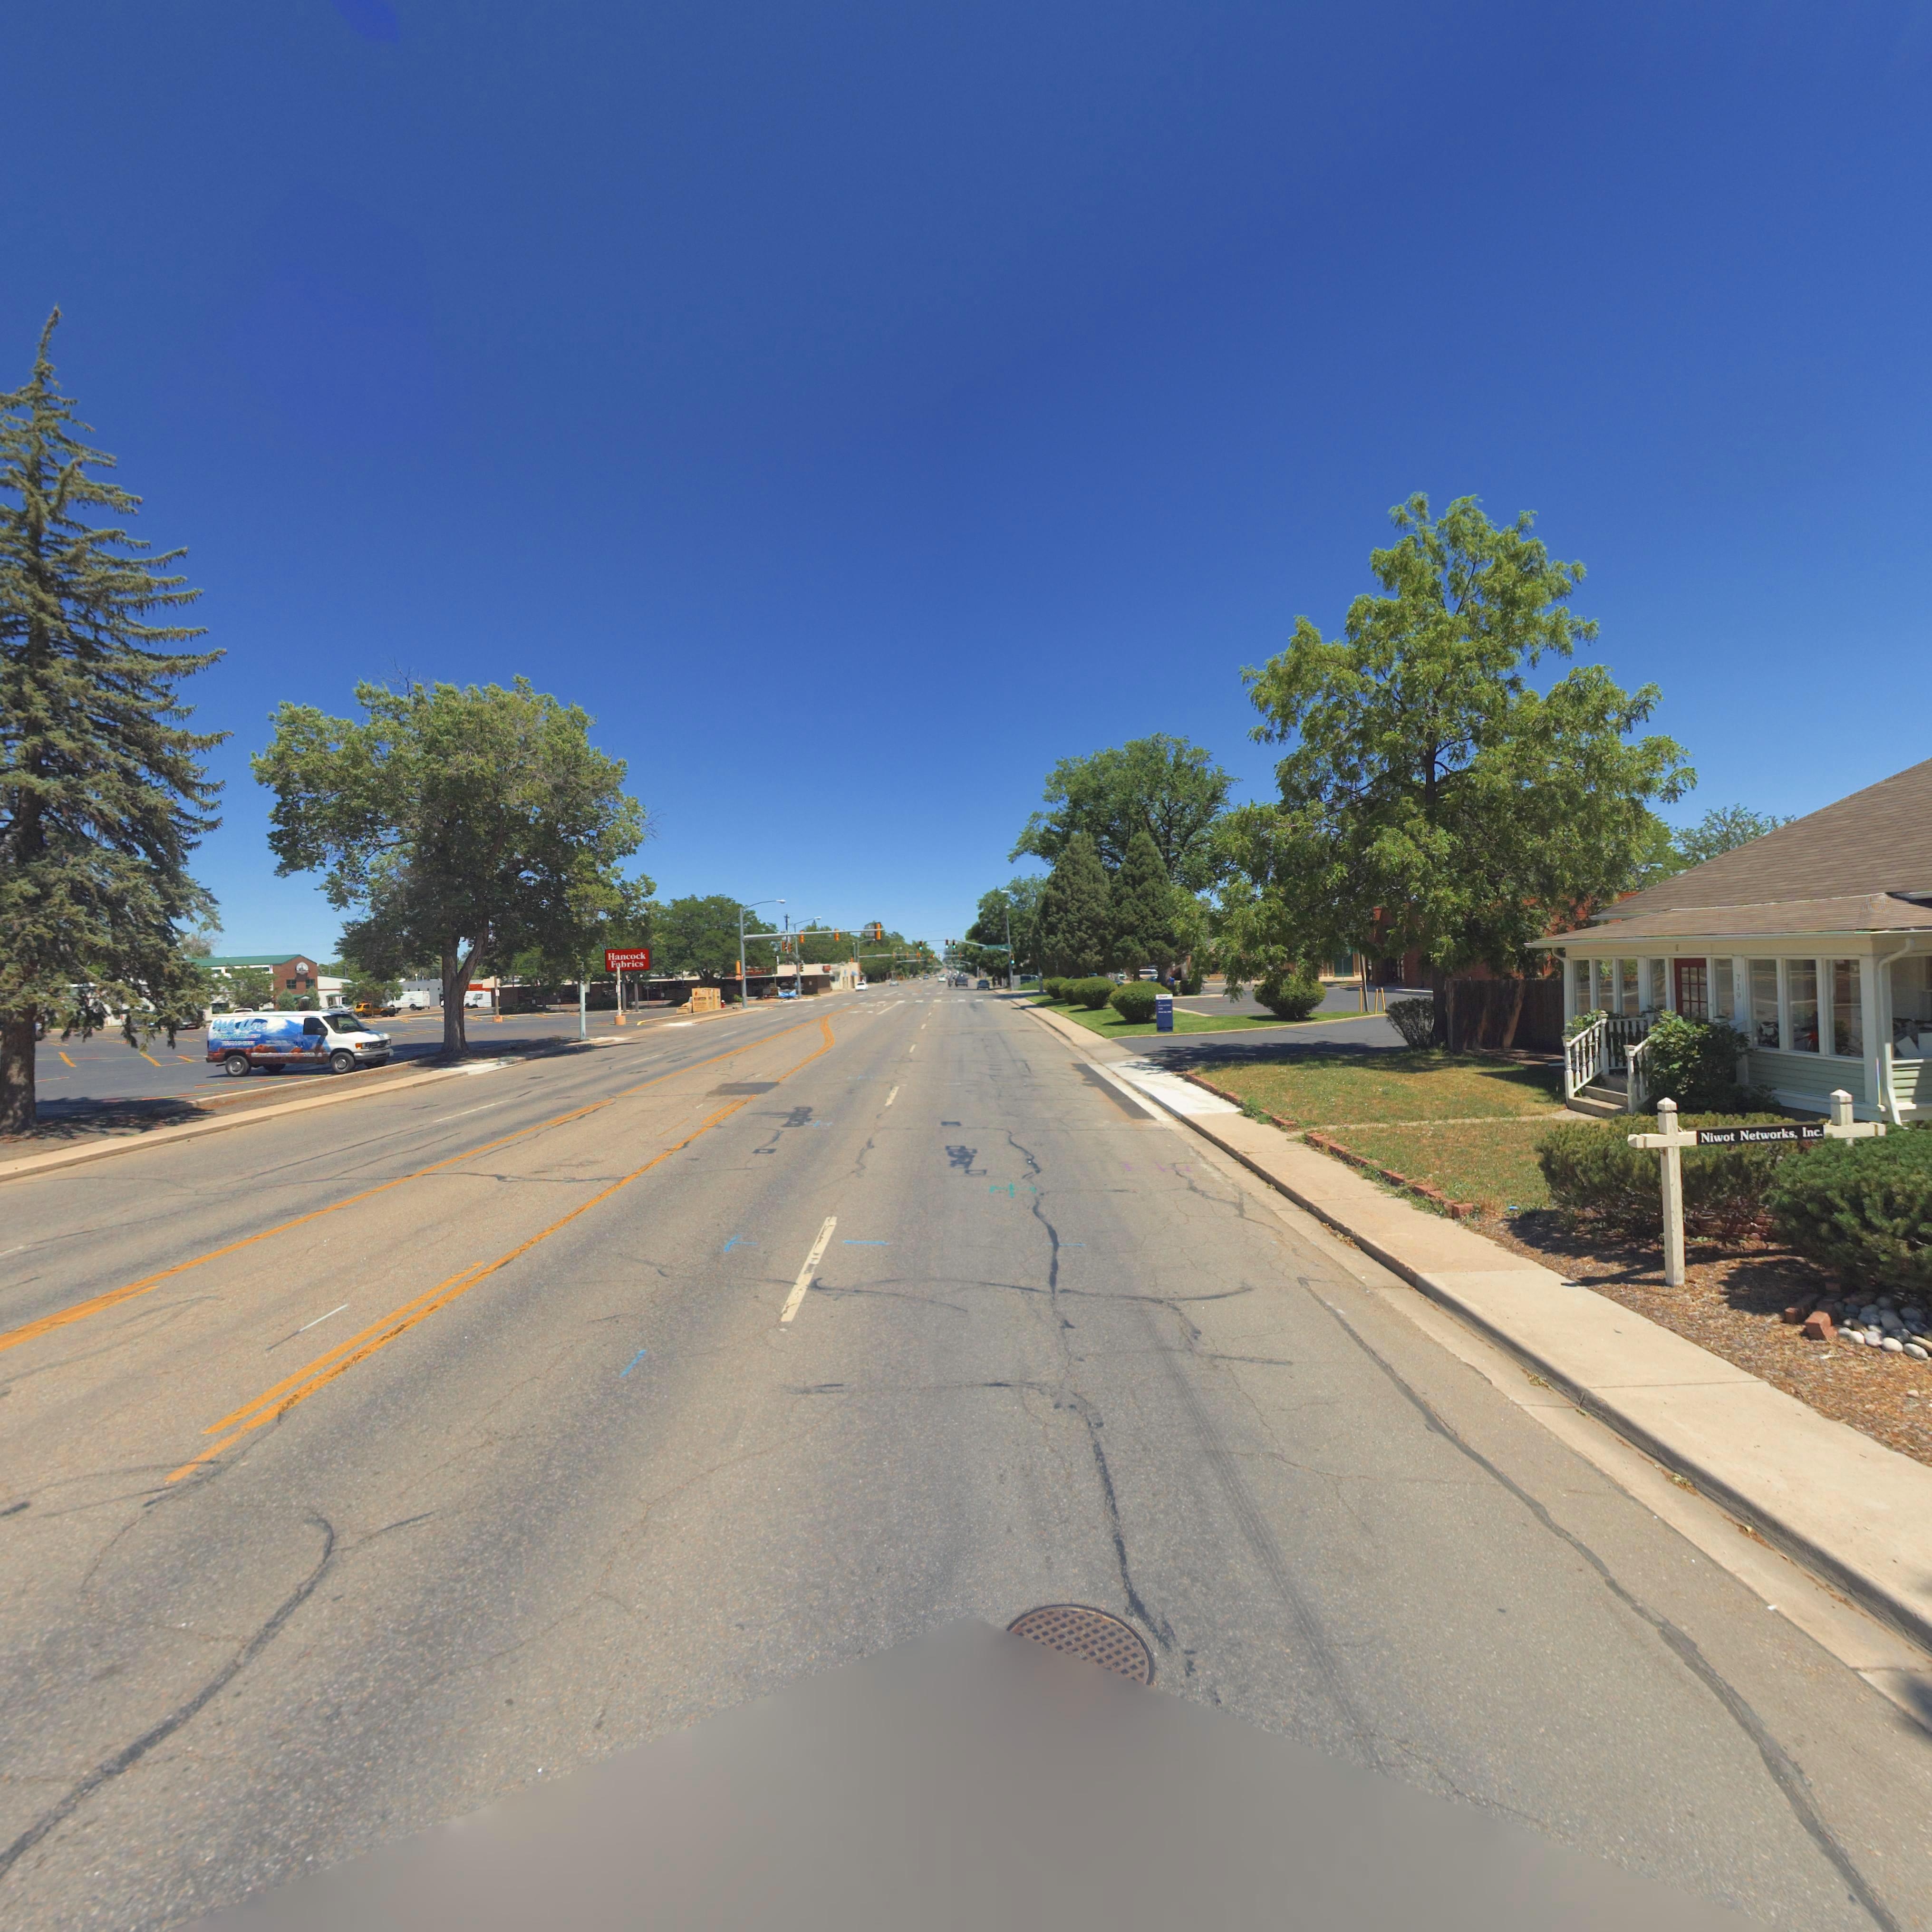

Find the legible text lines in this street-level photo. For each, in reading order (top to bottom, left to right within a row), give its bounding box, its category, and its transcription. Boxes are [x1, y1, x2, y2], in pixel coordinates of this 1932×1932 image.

[988, 945, 1006, 949] StreetName: C****** **
[608, 951, 646, 960] BusinessName: Hanock
[610, 960, 644, 968] BusinessName: F*brics
[1736, 974, 1741, 999] StreetNumber: 719
[1700, 1126, 1824, 1144] BusinessName: Niwot Networks, Inc.